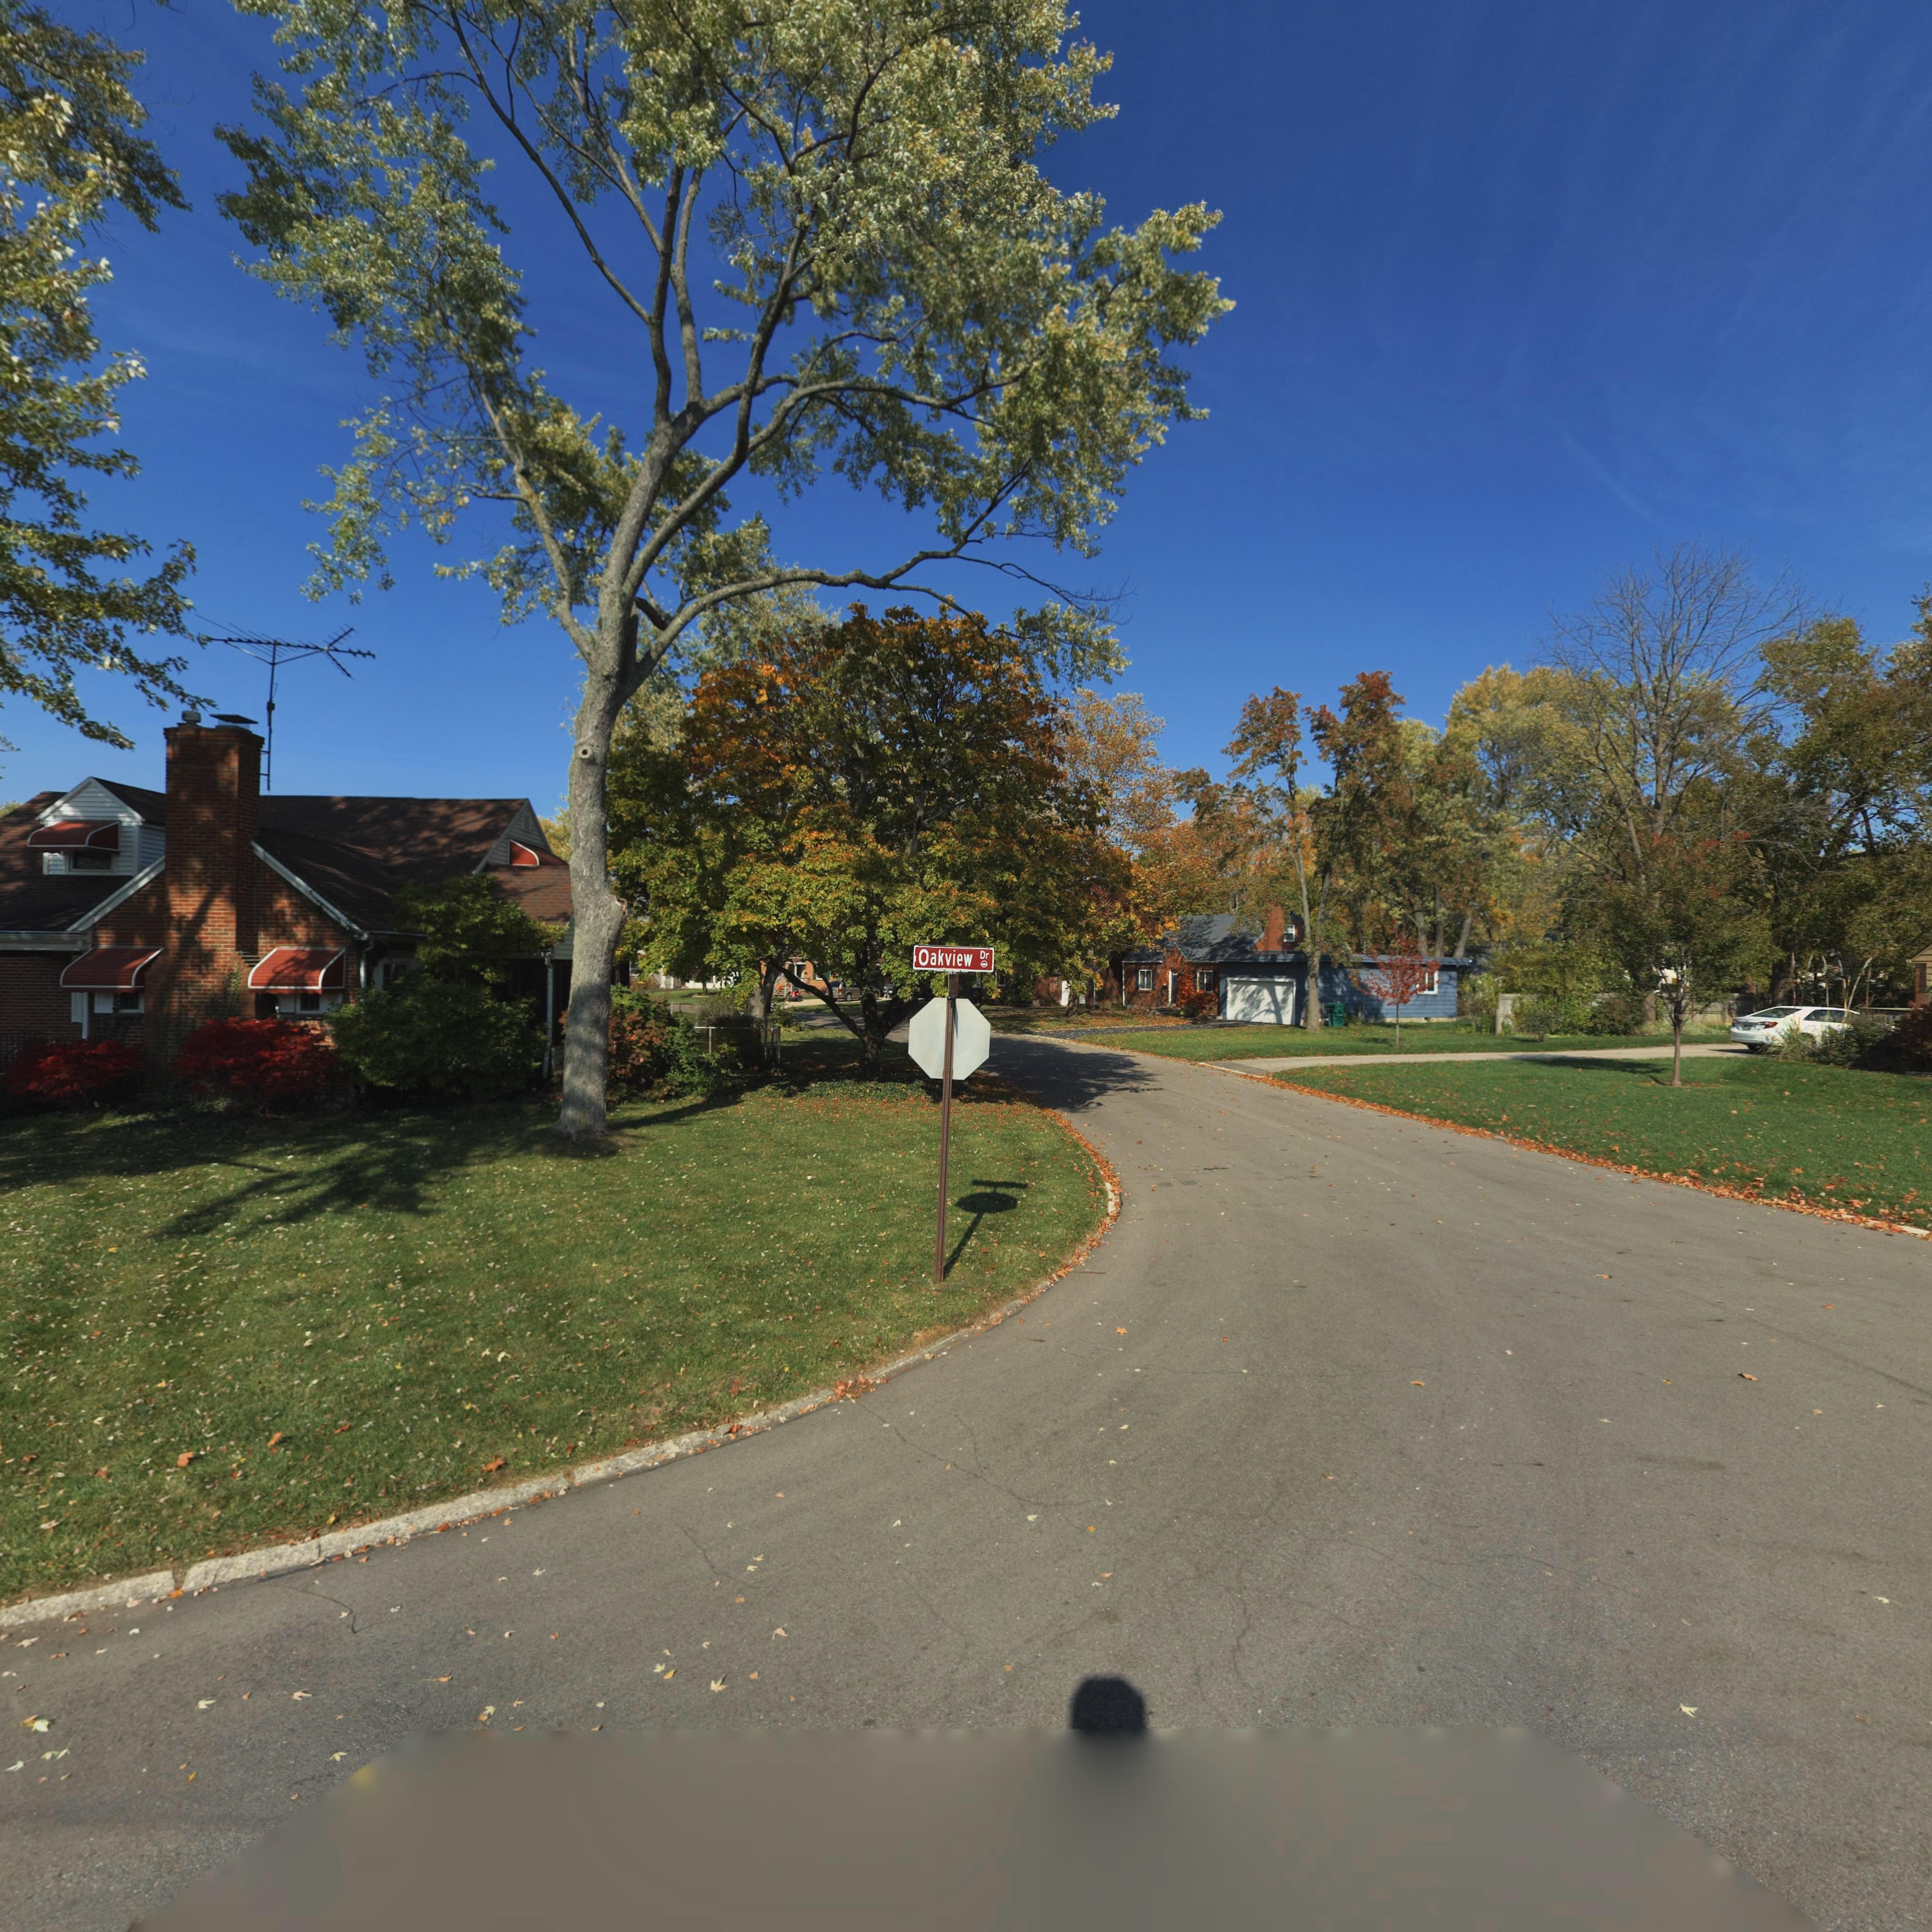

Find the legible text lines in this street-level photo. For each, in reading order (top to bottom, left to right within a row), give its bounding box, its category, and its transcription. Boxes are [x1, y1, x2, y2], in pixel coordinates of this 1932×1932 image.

[918, 948, 990, 967] StreetName: Oakview Dr